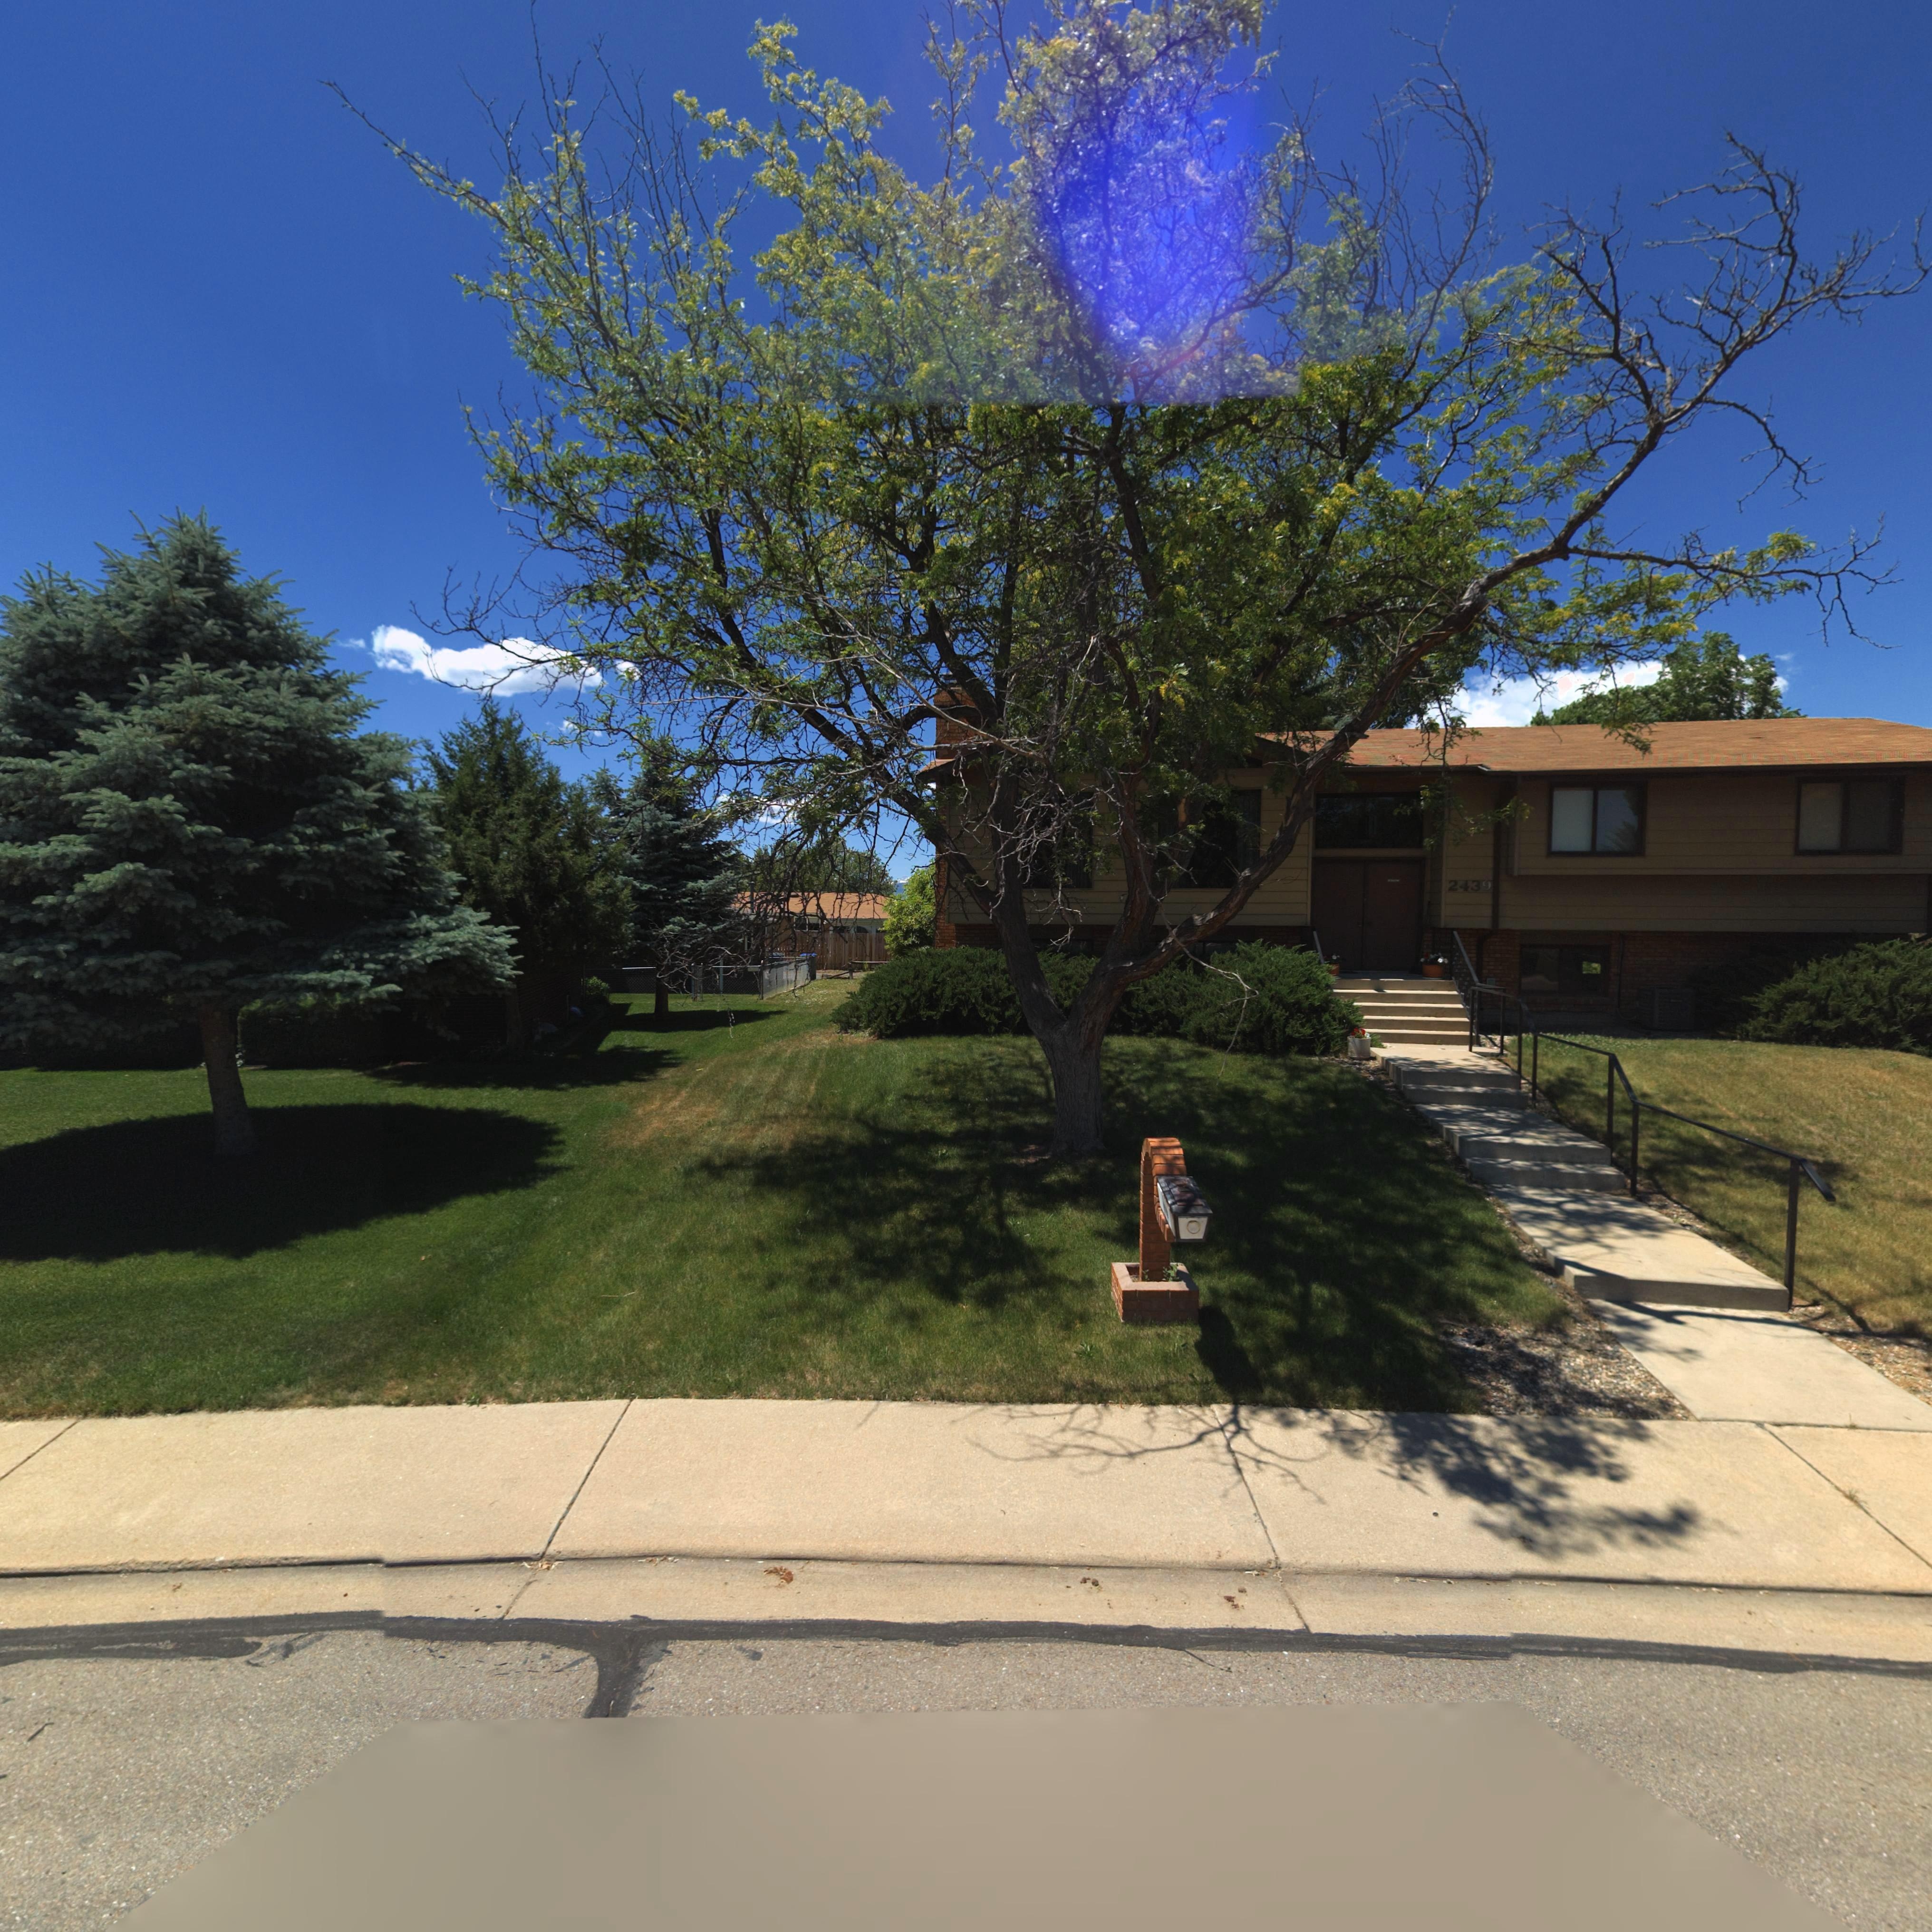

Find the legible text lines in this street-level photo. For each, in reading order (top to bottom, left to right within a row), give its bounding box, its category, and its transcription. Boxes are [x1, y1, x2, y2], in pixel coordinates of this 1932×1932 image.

[1447, 879, 1492, 892] StreetNumber: 2439